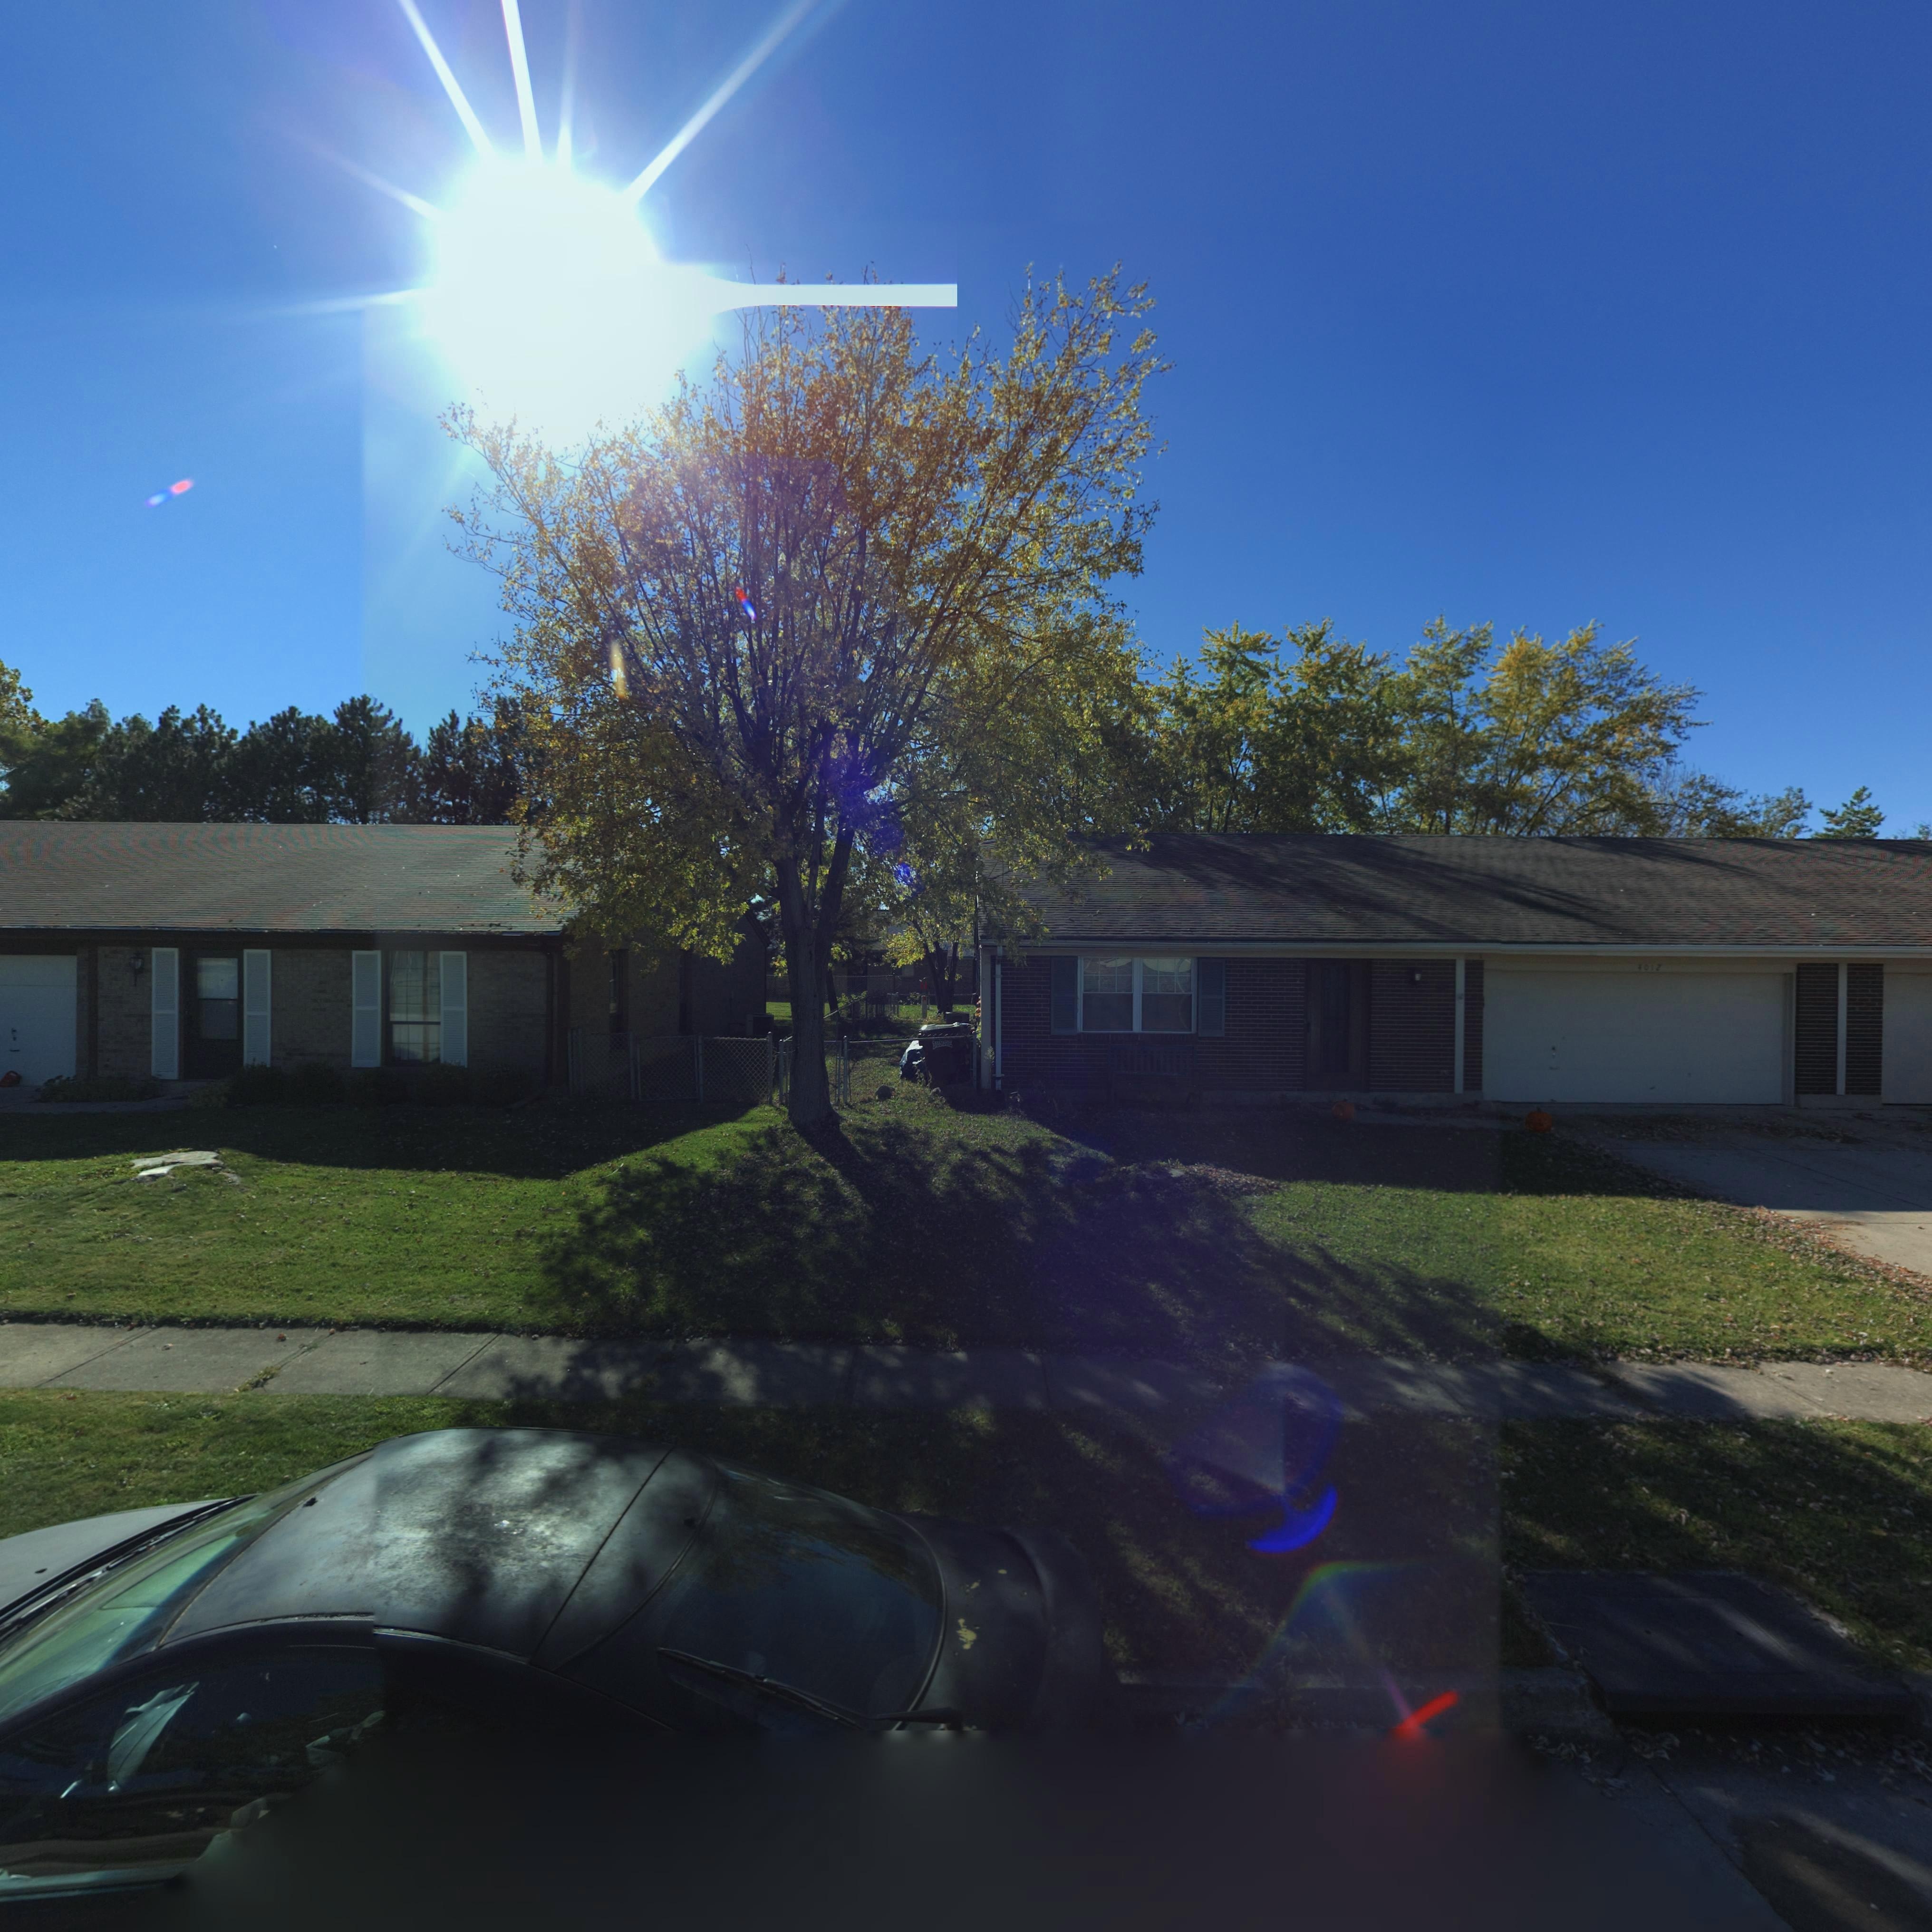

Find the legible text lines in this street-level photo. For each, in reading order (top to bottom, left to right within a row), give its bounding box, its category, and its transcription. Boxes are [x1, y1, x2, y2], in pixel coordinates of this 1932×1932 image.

[1636, 963, 1662, 971] StreetNumber: 4012